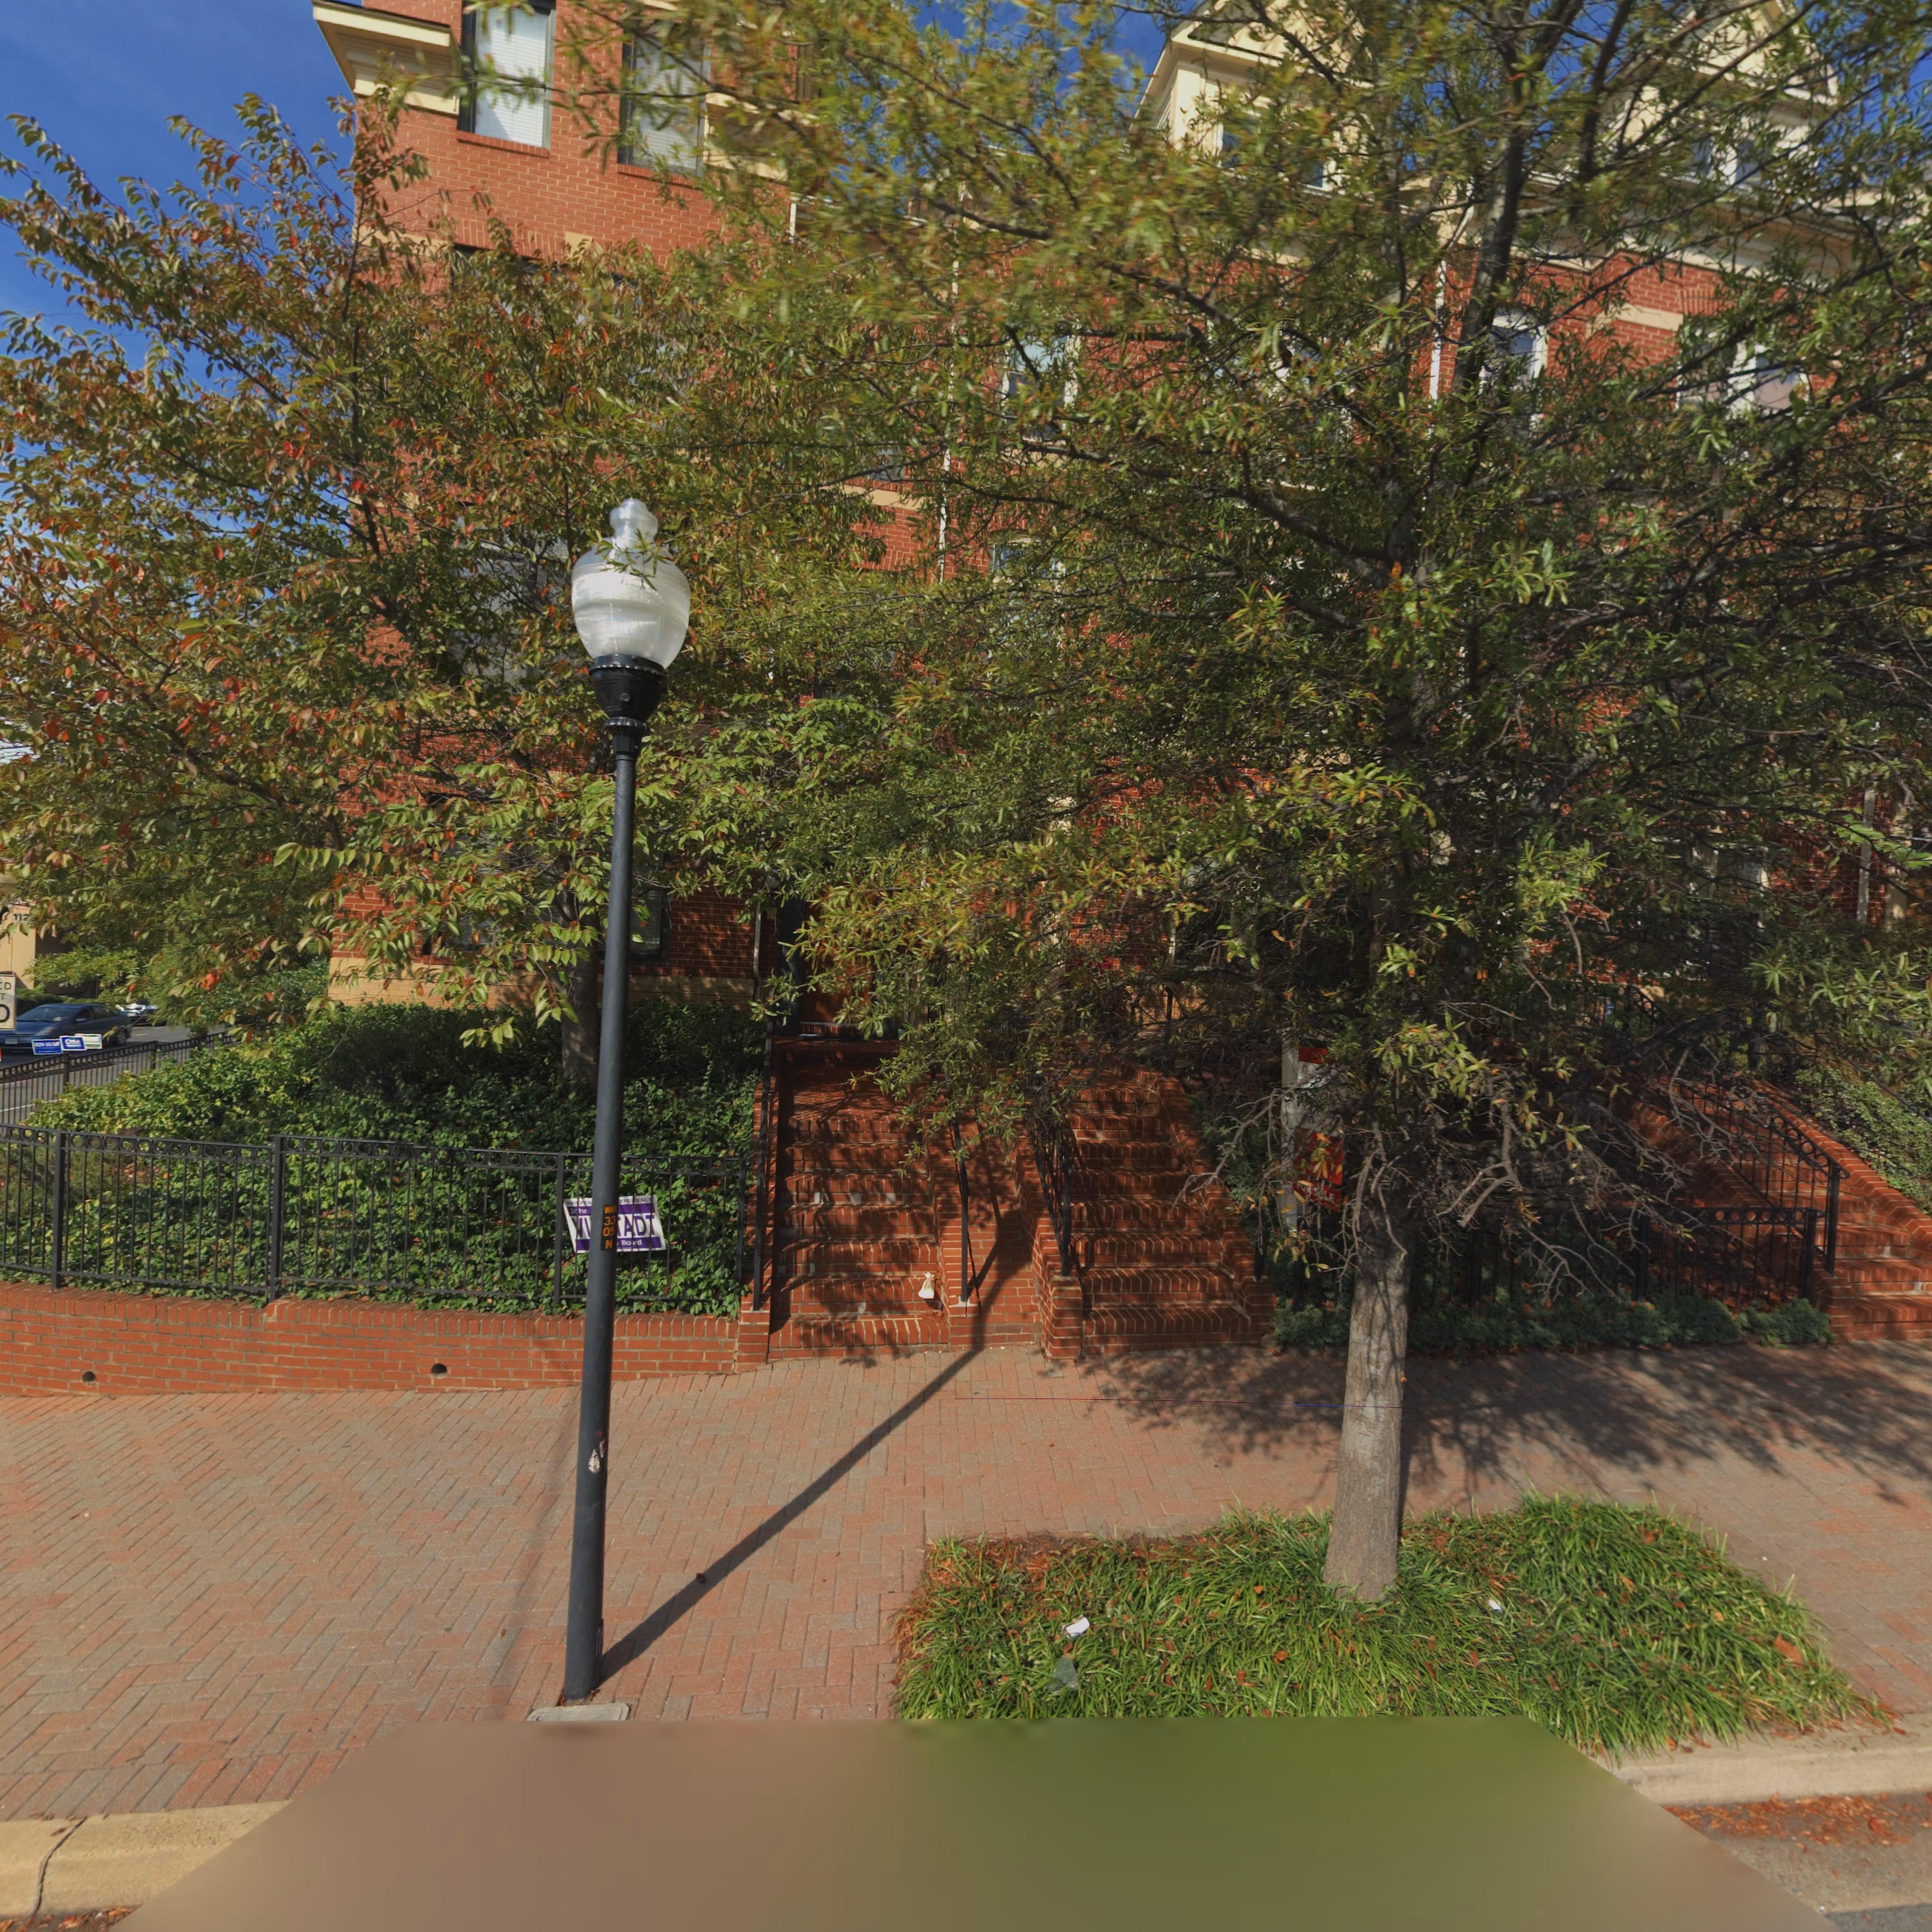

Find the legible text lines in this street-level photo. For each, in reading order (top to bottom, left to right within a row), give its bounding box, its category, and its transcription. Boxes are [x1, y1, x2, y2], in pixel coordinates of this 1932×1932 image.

[4, 981, 12, 990] None: D
[0, 992, 6, 1001] None: T
[34, 1042, 45, 1047] None: DON
[570, 1207, 590, 1215] None: J*hn
[604, 1205, 618, 1214] None: WAB
[604, 1215, 617, 1226] None: 33
[570, 1215, 655, 1238] None: *I***AD*
[602, 1226, 616, 1237] None: 05
[604, 1239, 612, 1249] None: N
[621, 1238, 643, 1246] None: Bo*rd